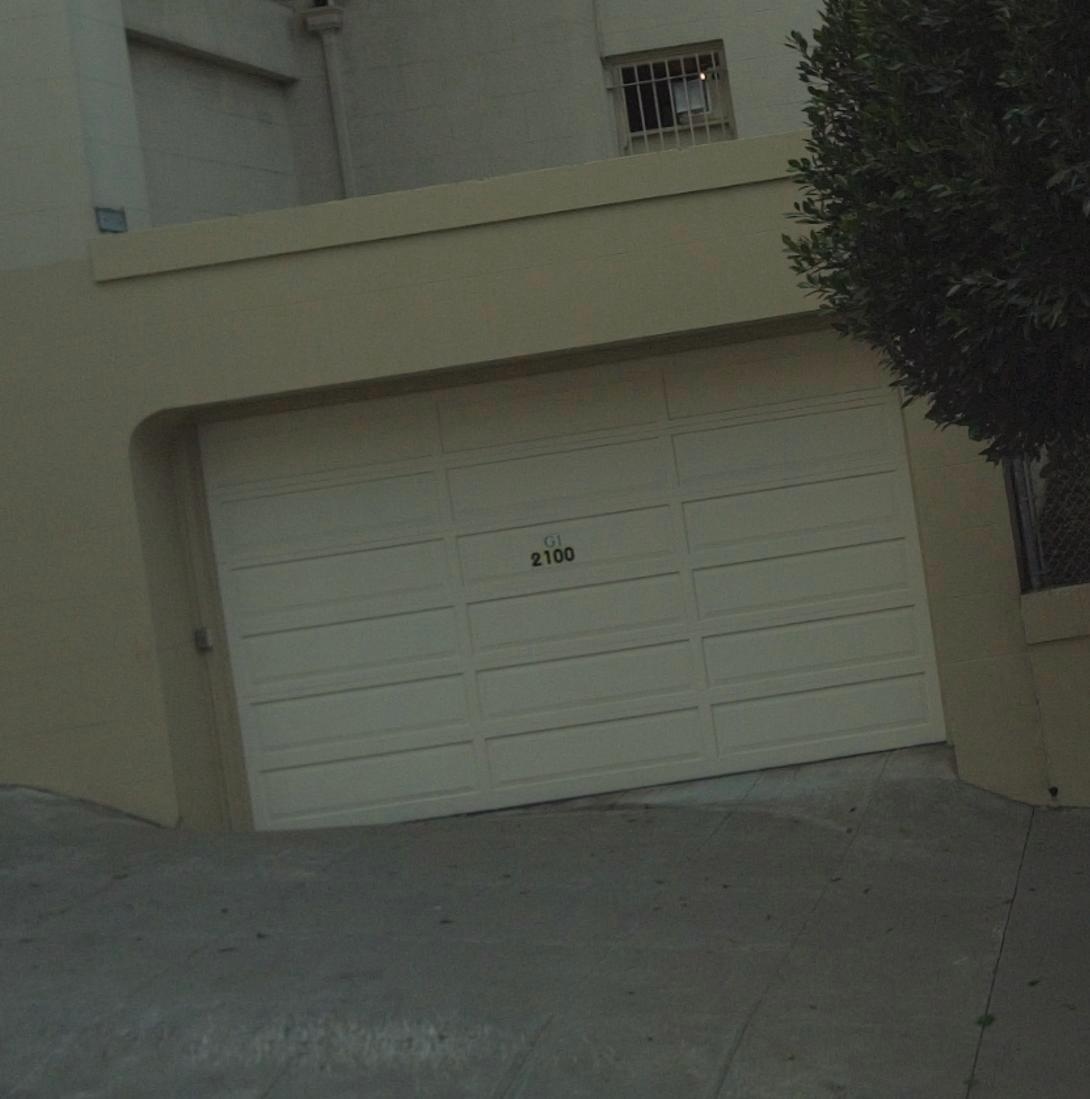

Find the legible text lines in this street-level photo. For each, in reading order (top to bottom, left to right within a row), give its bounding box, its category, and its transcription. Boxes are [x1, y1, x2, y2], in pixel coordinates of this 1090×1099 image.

[541, 531, 565, 550] StreetNumber: G1
[527, 542, 579, 571] StreetNumber: 2100